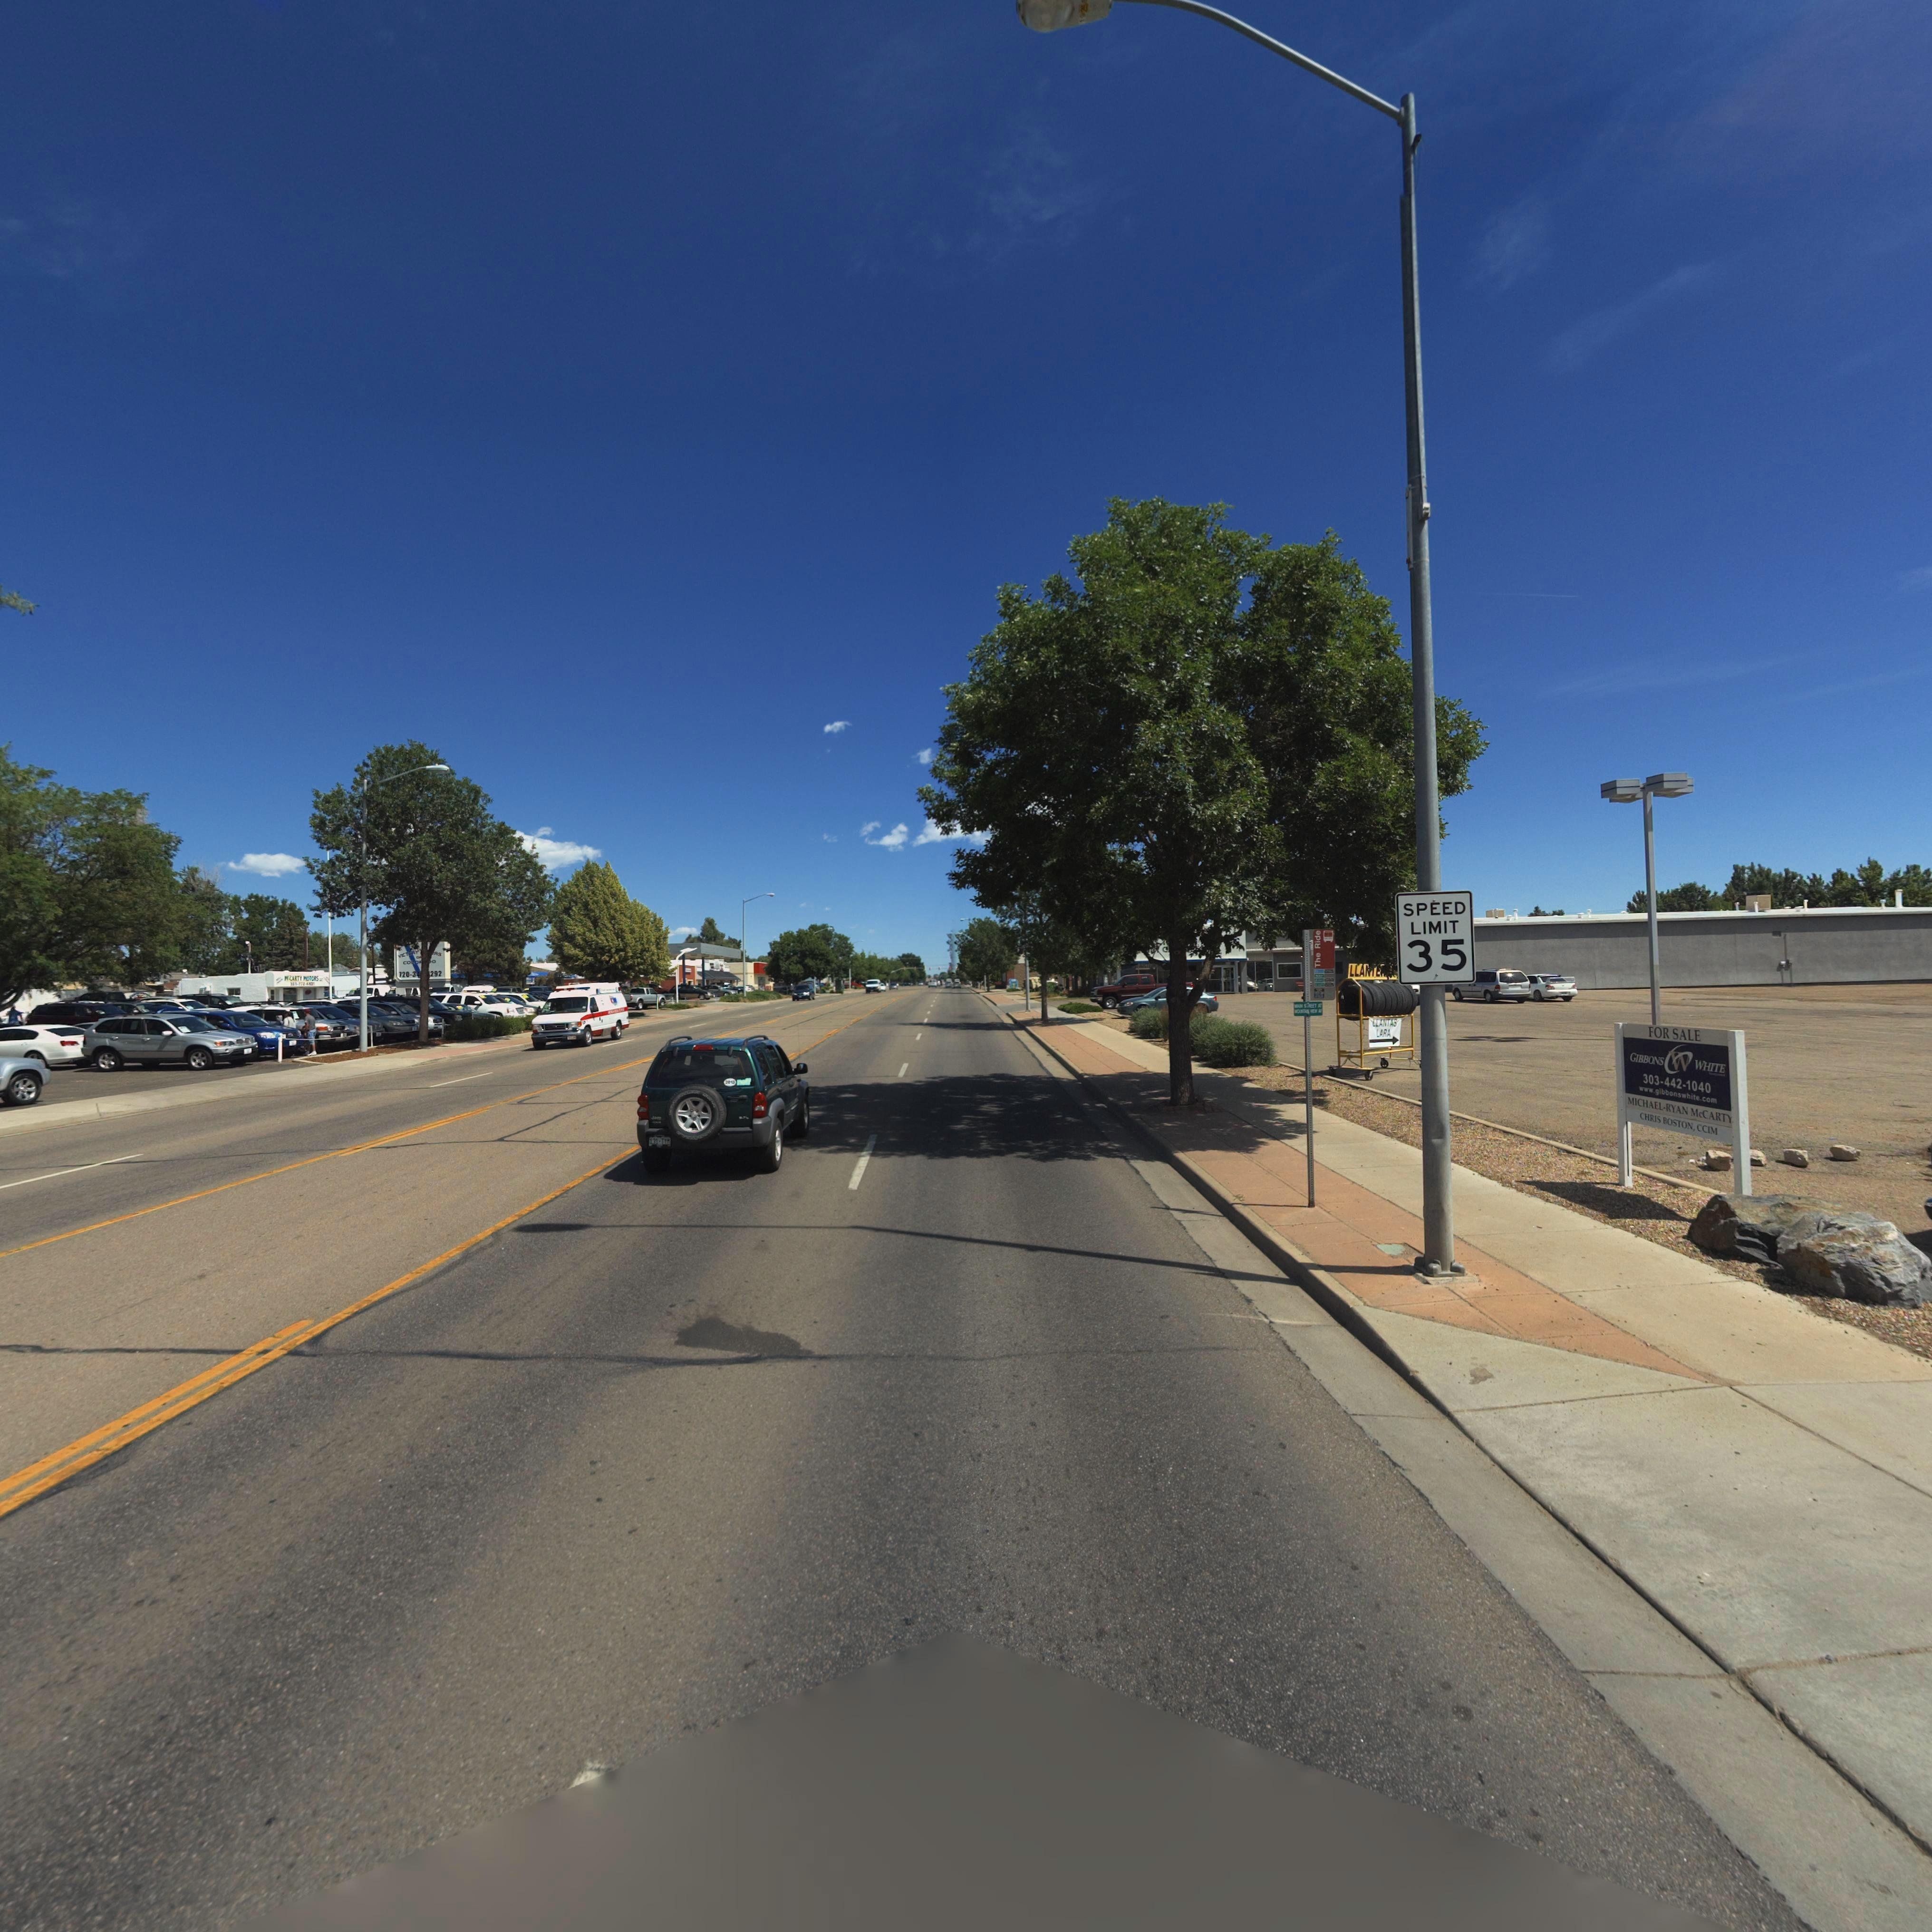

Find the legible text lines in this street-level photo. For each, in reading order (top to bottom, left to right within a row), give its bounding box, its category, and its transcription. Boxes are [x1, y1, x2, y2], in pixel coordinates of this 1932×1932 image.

[397, 949, 419, 958] BusinessName: VICT**Y
[432, 950, 441, 956] BusinessName: *RS
[402, 959, 436, 965] BusinessName: COLO***O
[284, 975, 319, 981] BusinessName: M*CARTY MO**RS